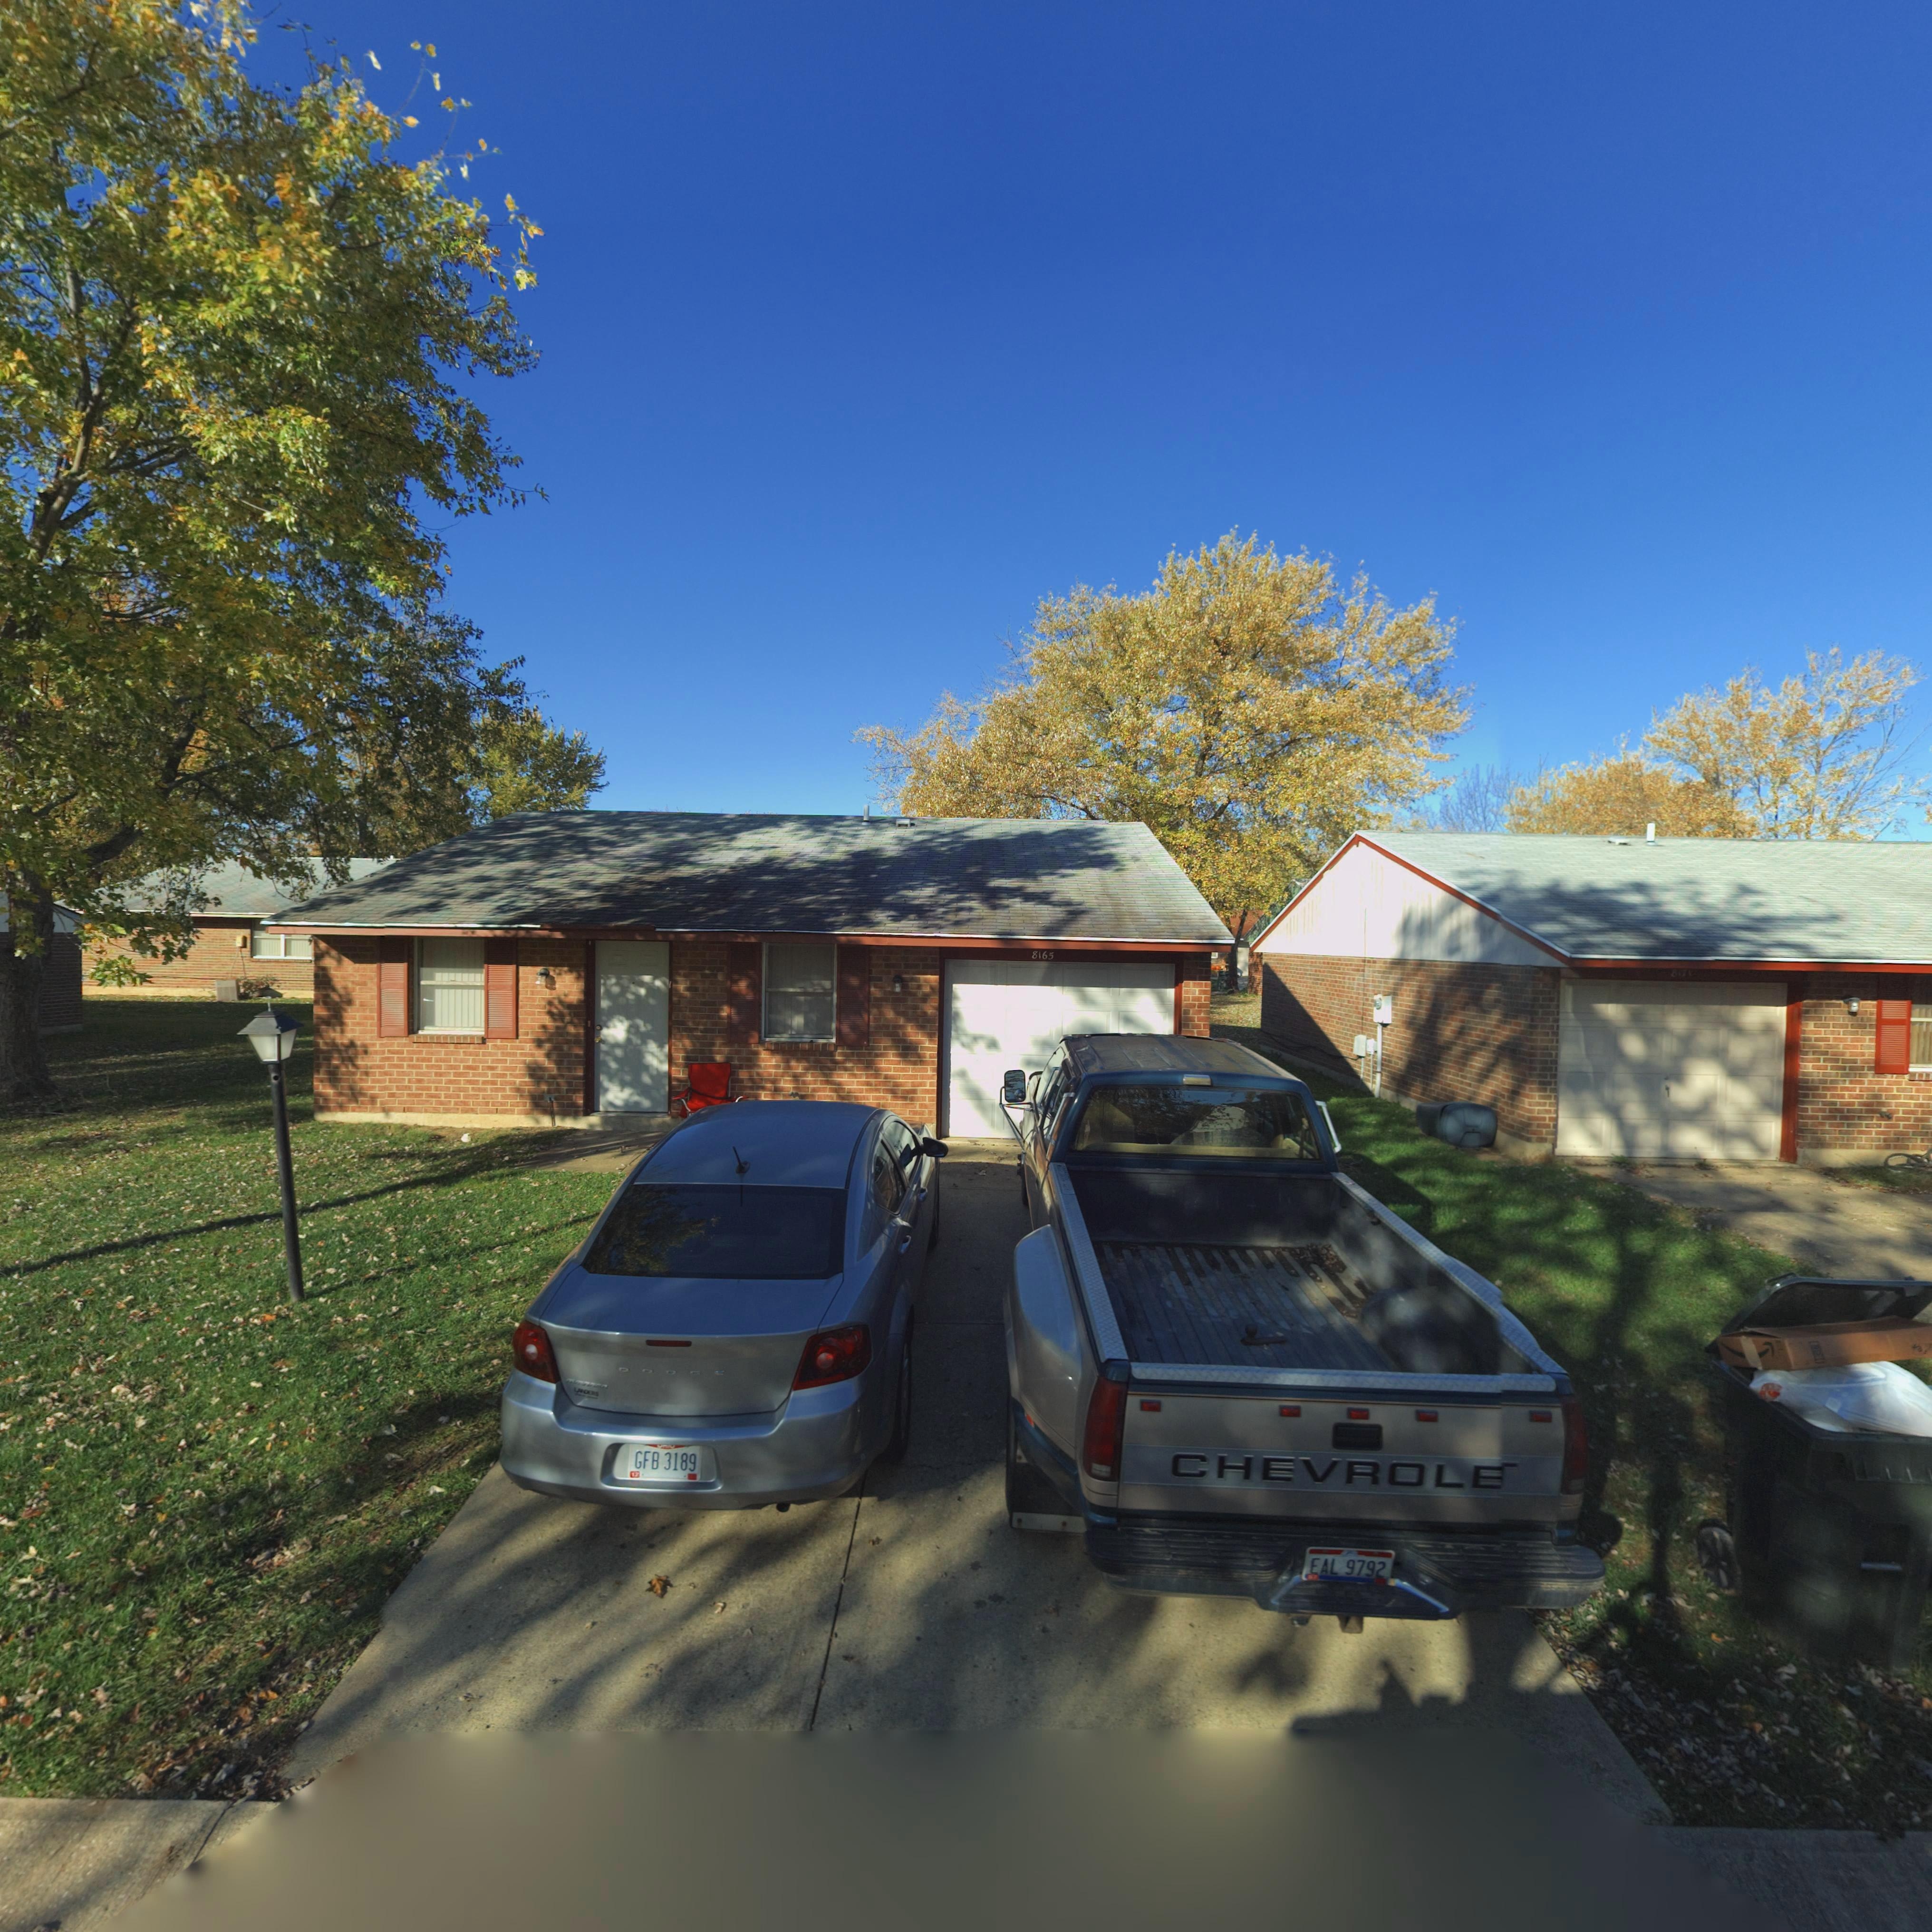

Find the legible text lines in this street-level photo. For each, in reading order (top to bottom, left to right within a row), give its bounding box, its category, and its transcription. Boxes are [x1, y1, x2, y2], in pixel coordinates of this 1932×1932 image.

[1030, 949, 1055, 961] StreetNumber: 8165